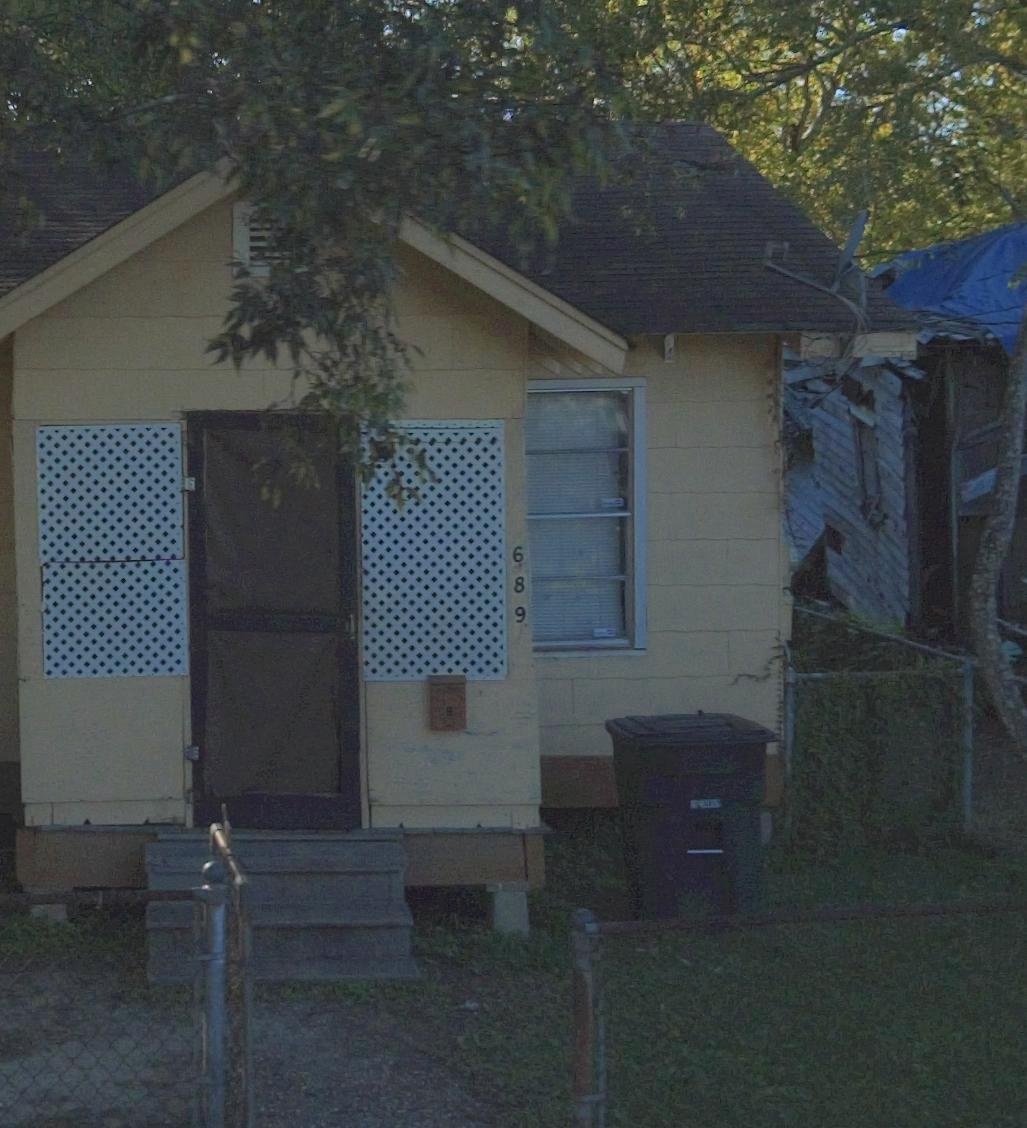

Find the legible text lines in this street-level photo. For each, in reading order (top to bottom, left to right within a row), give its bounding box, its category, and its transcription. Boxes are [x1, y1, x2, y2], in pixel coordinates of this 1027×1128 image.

[510, 543, 528, 625] StreetNumber: 689